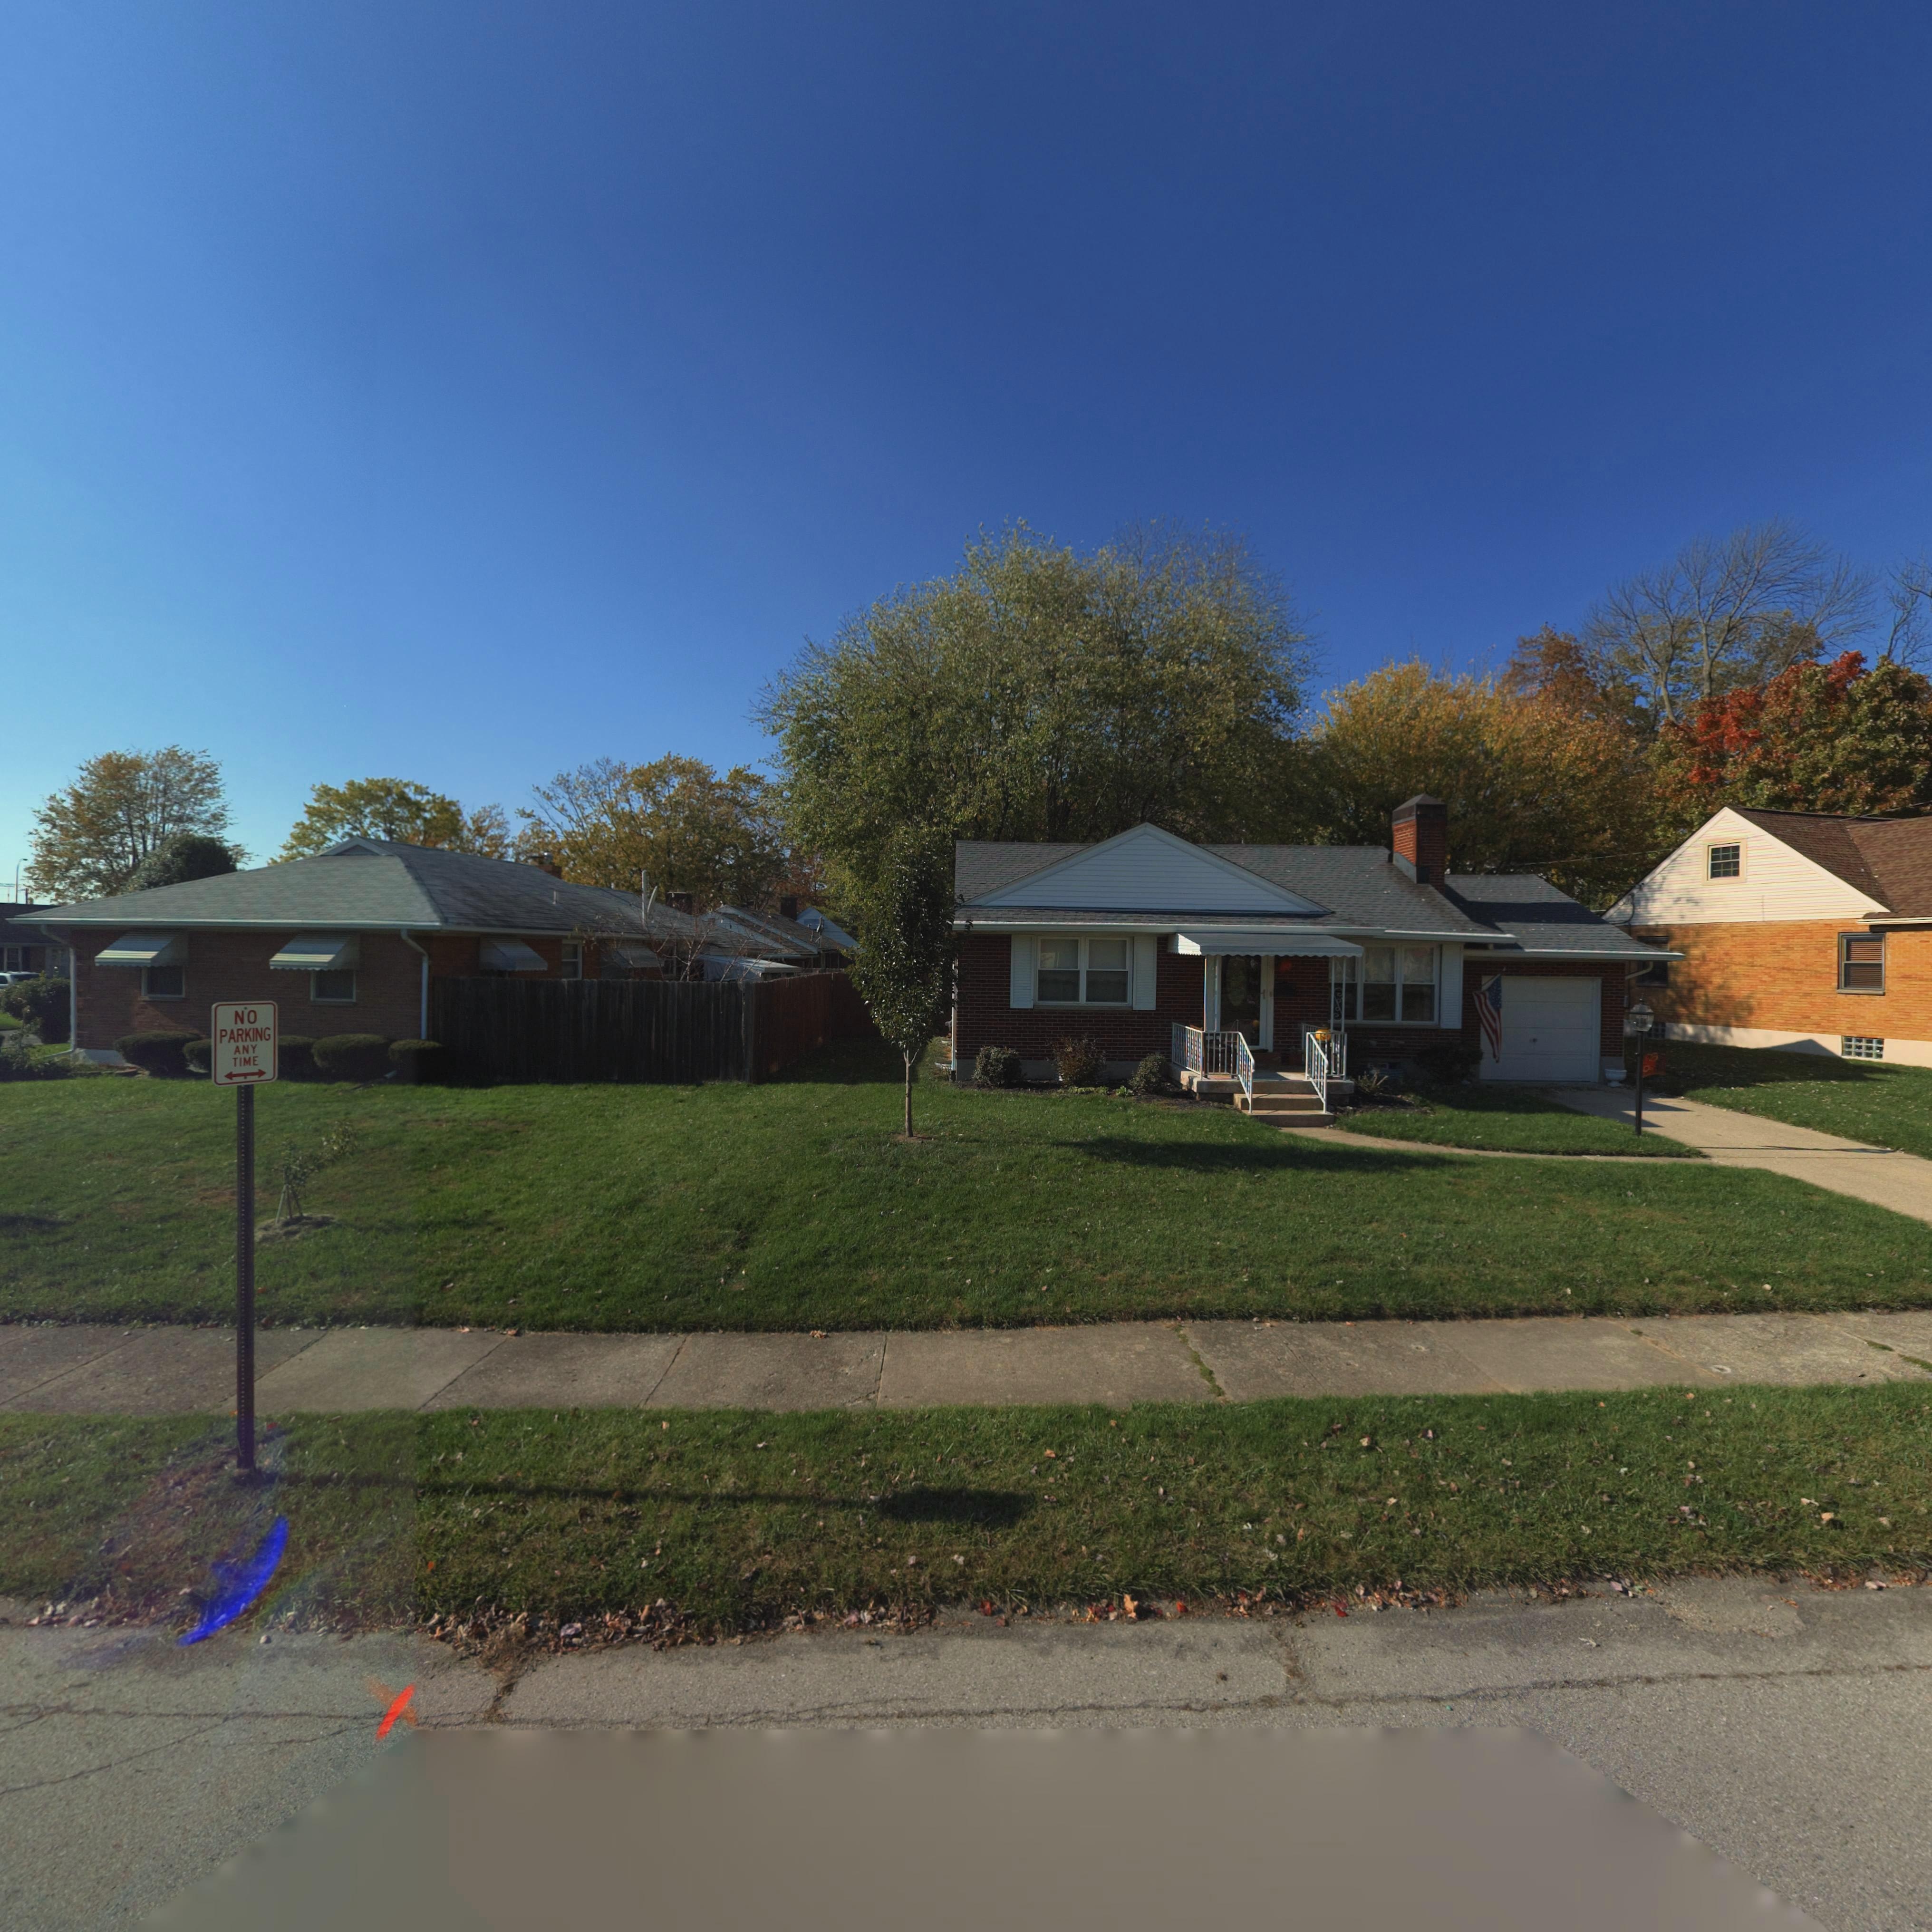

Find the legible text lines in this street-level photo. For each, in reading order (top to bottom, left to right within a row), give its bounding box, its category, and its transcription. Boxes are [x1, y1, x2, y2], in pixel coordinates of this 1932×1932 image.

[234, 1009, 257, 1025] None: NO
[219, 1026, 271, 1044] None: PARKING
[233, 1043, 258, 1055] None: ANY
[232, 1055, 259, 1068] None: TIME